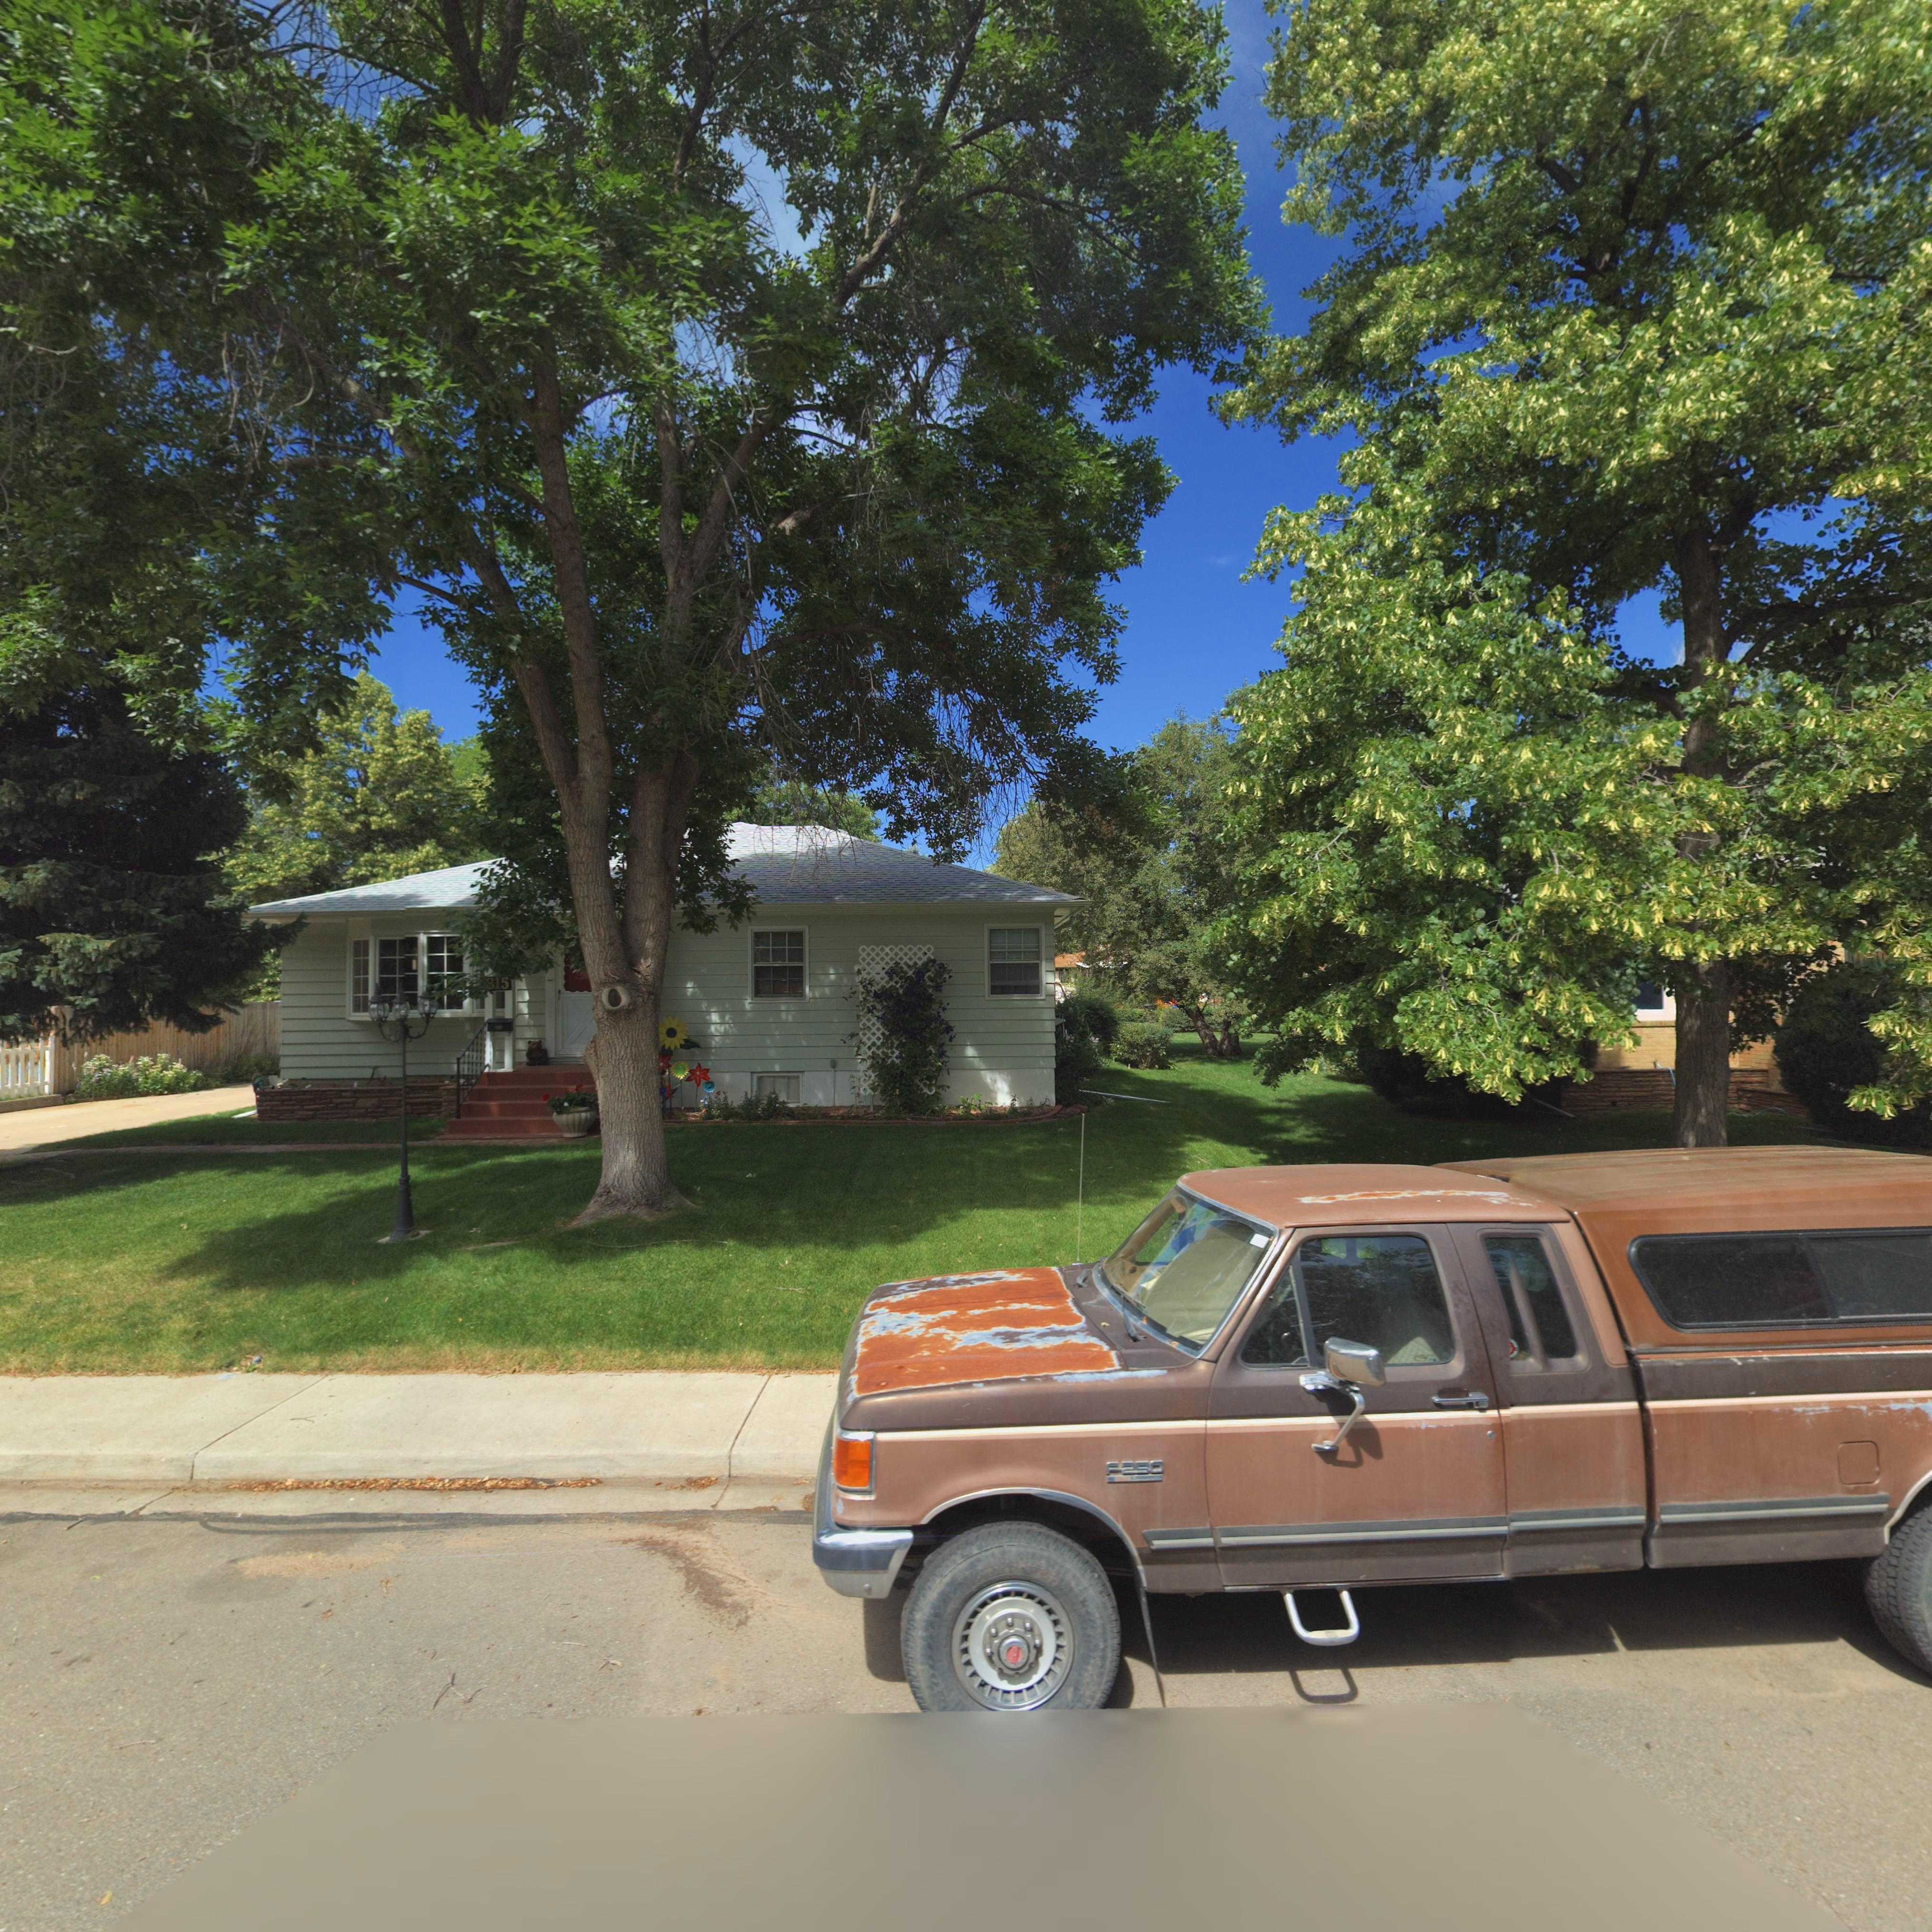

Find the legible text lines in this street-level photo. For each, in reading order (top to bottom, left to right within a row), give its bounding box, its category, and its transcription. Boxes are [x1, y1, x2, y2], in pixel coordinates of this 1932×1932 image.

[485, 976, 509, 989] StreetNumber: 815